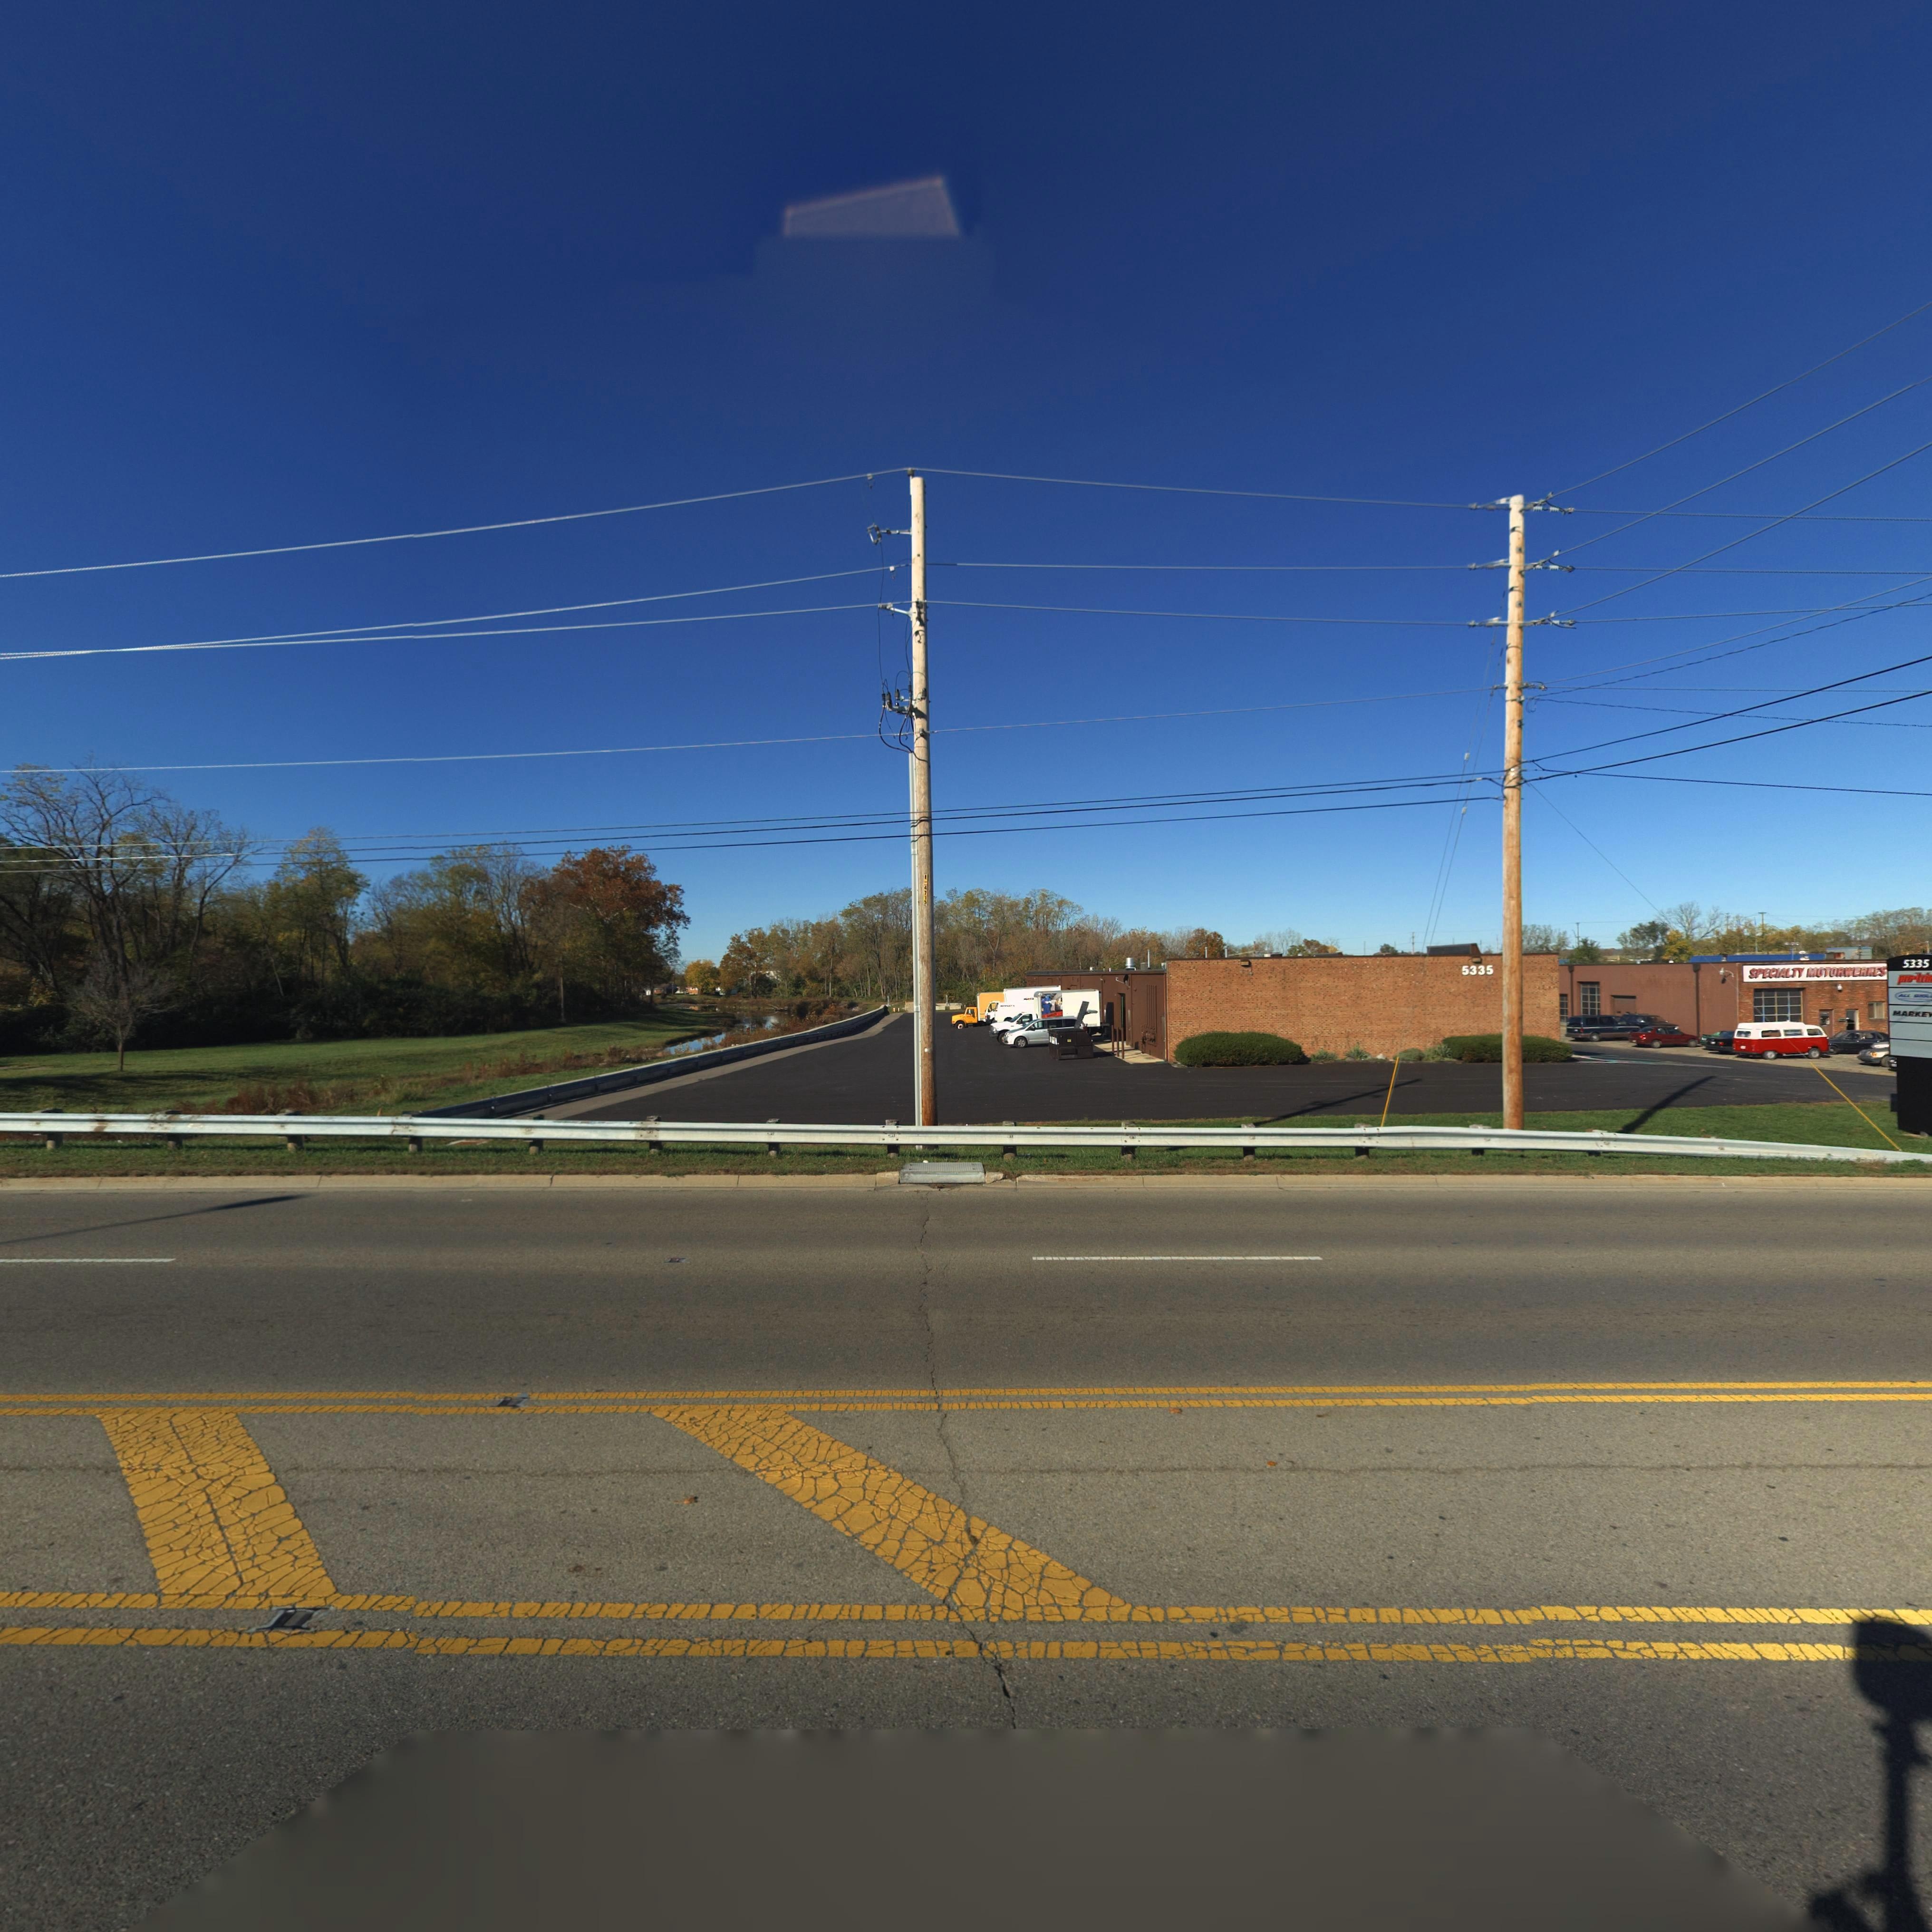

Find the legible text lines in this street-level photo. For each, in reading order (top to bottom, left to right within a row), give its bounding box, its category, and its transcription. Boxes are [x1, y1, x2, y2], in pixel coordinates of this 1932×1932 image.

[1902, 958, 1931, 969] StreetNumber: 5335
[1461, 964, 1495, 976] StreetNumber: 5335